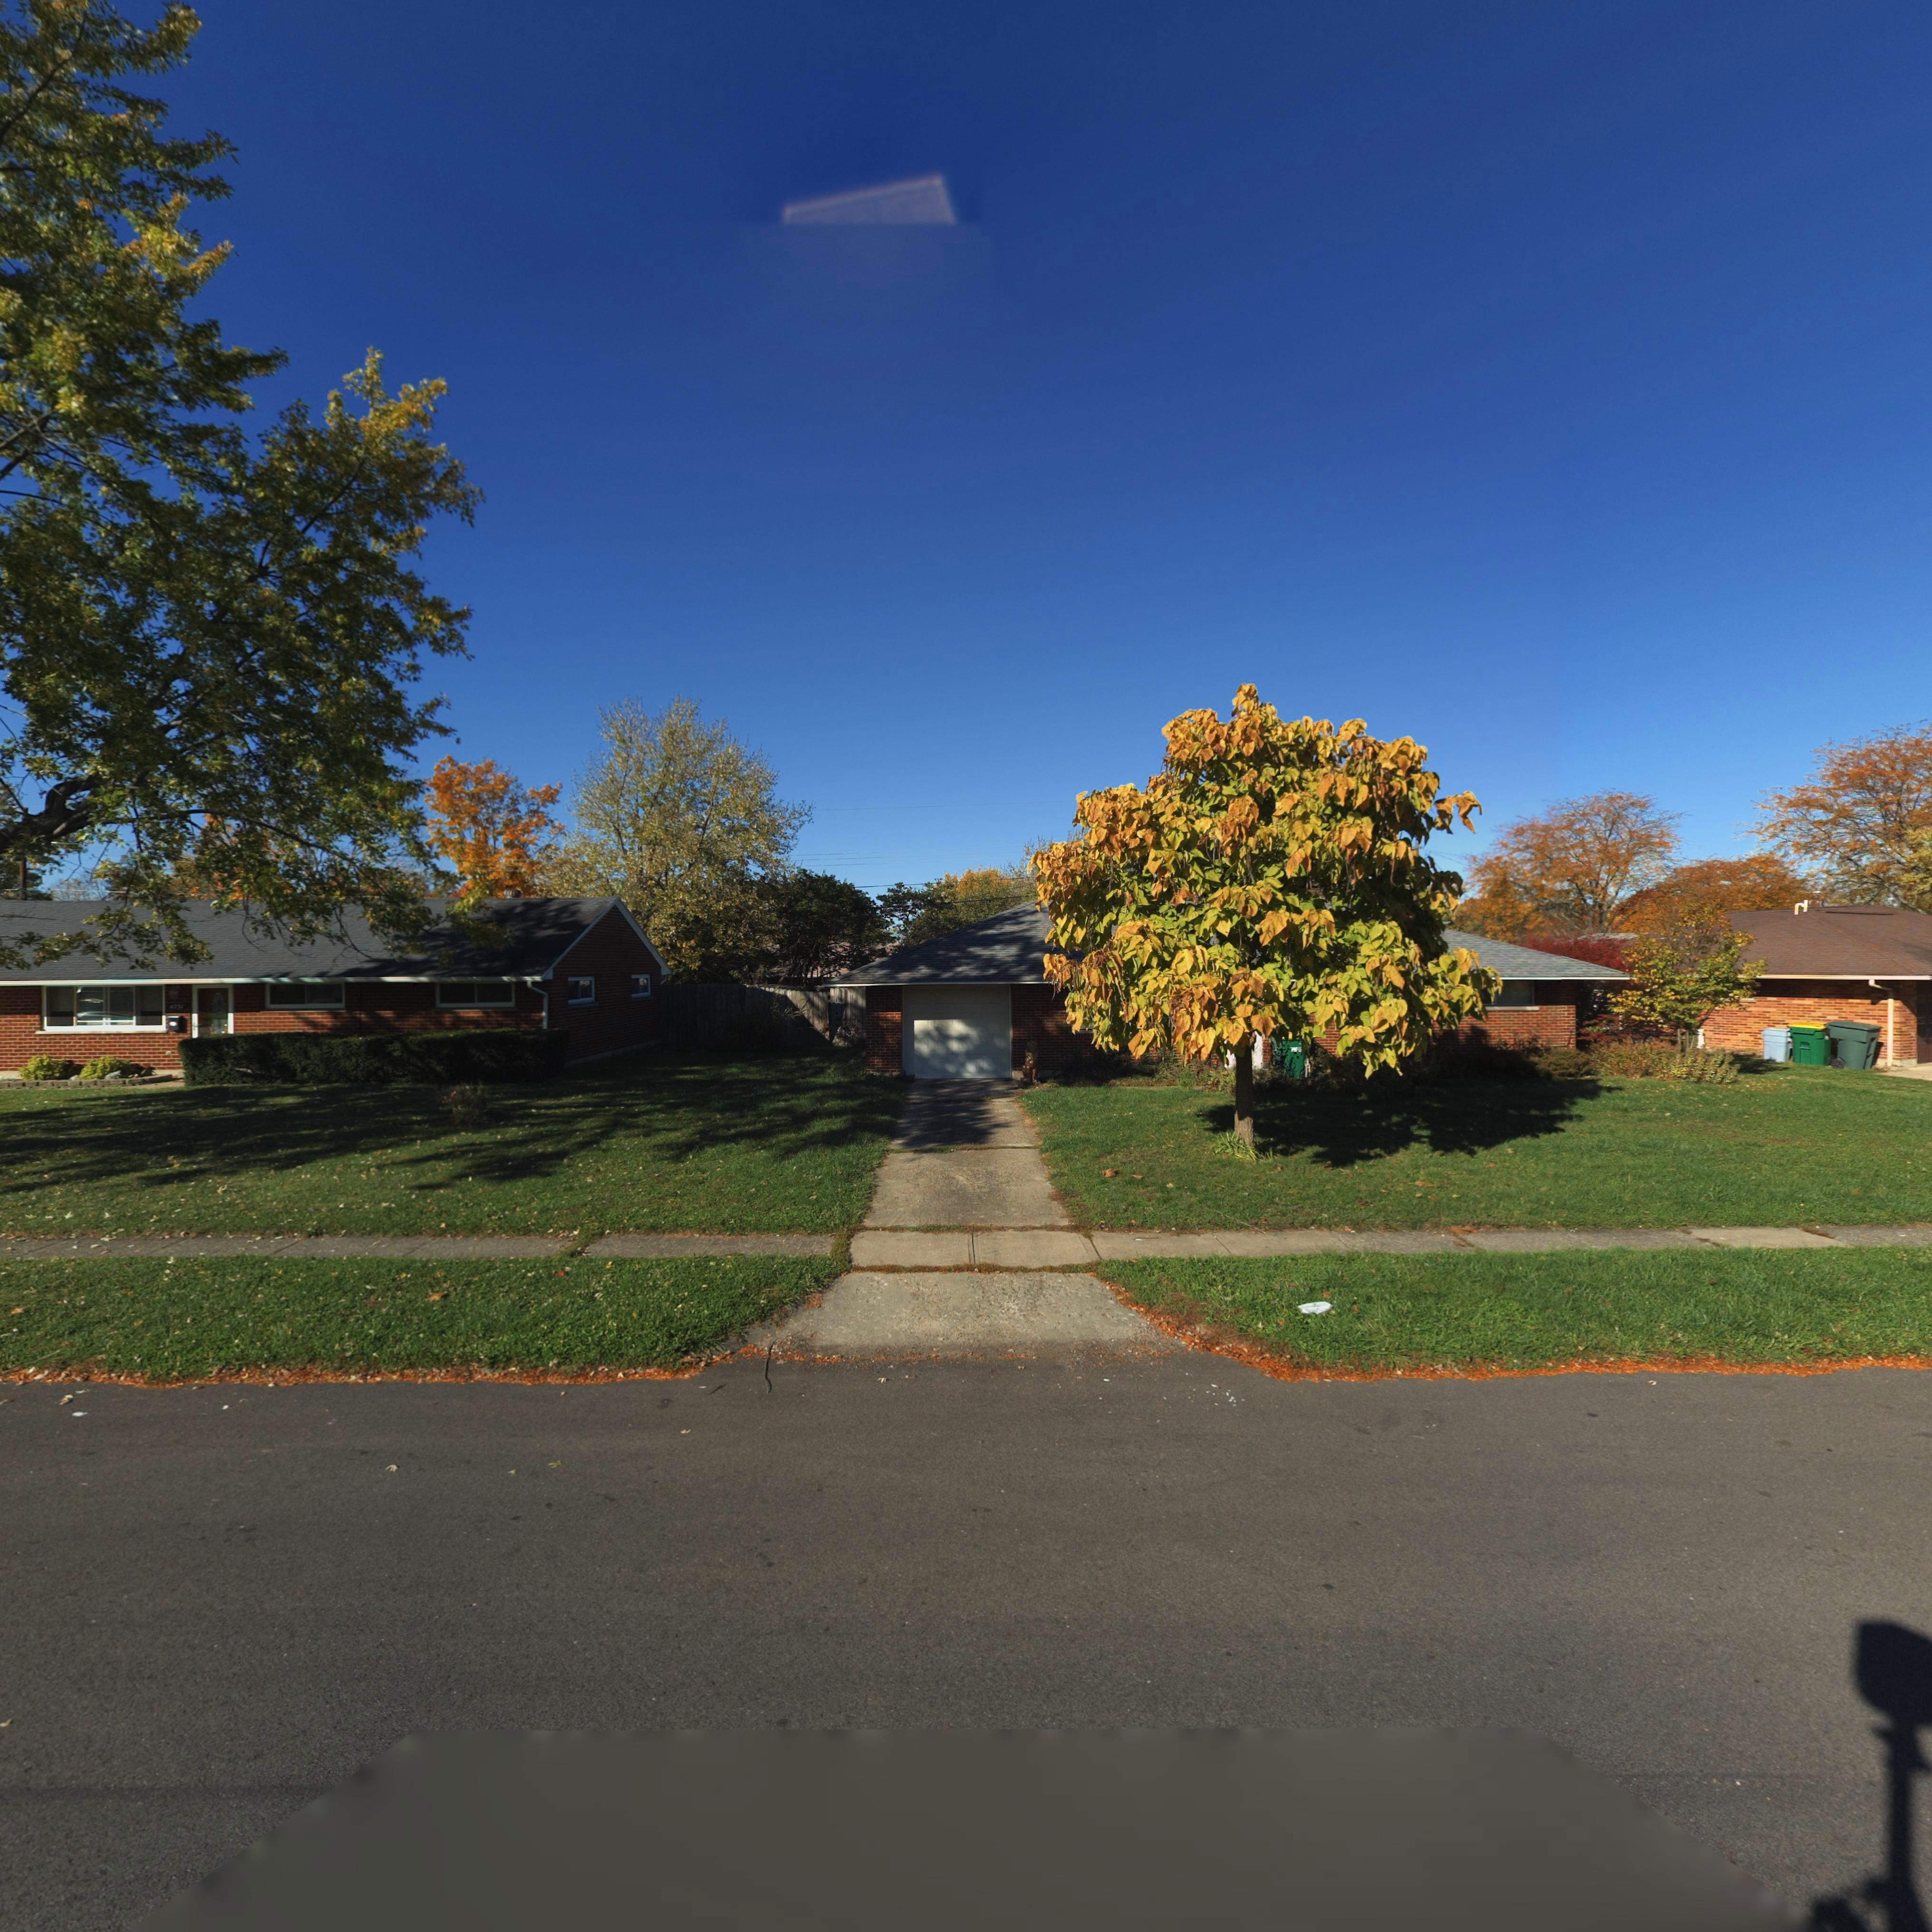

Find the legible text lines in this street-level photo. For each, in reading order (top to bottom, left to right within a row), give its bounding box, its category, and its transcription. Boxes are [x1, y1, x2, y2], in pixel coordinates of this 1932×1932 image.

[169, 1004, 184, 1009] StreetNumber: 4731